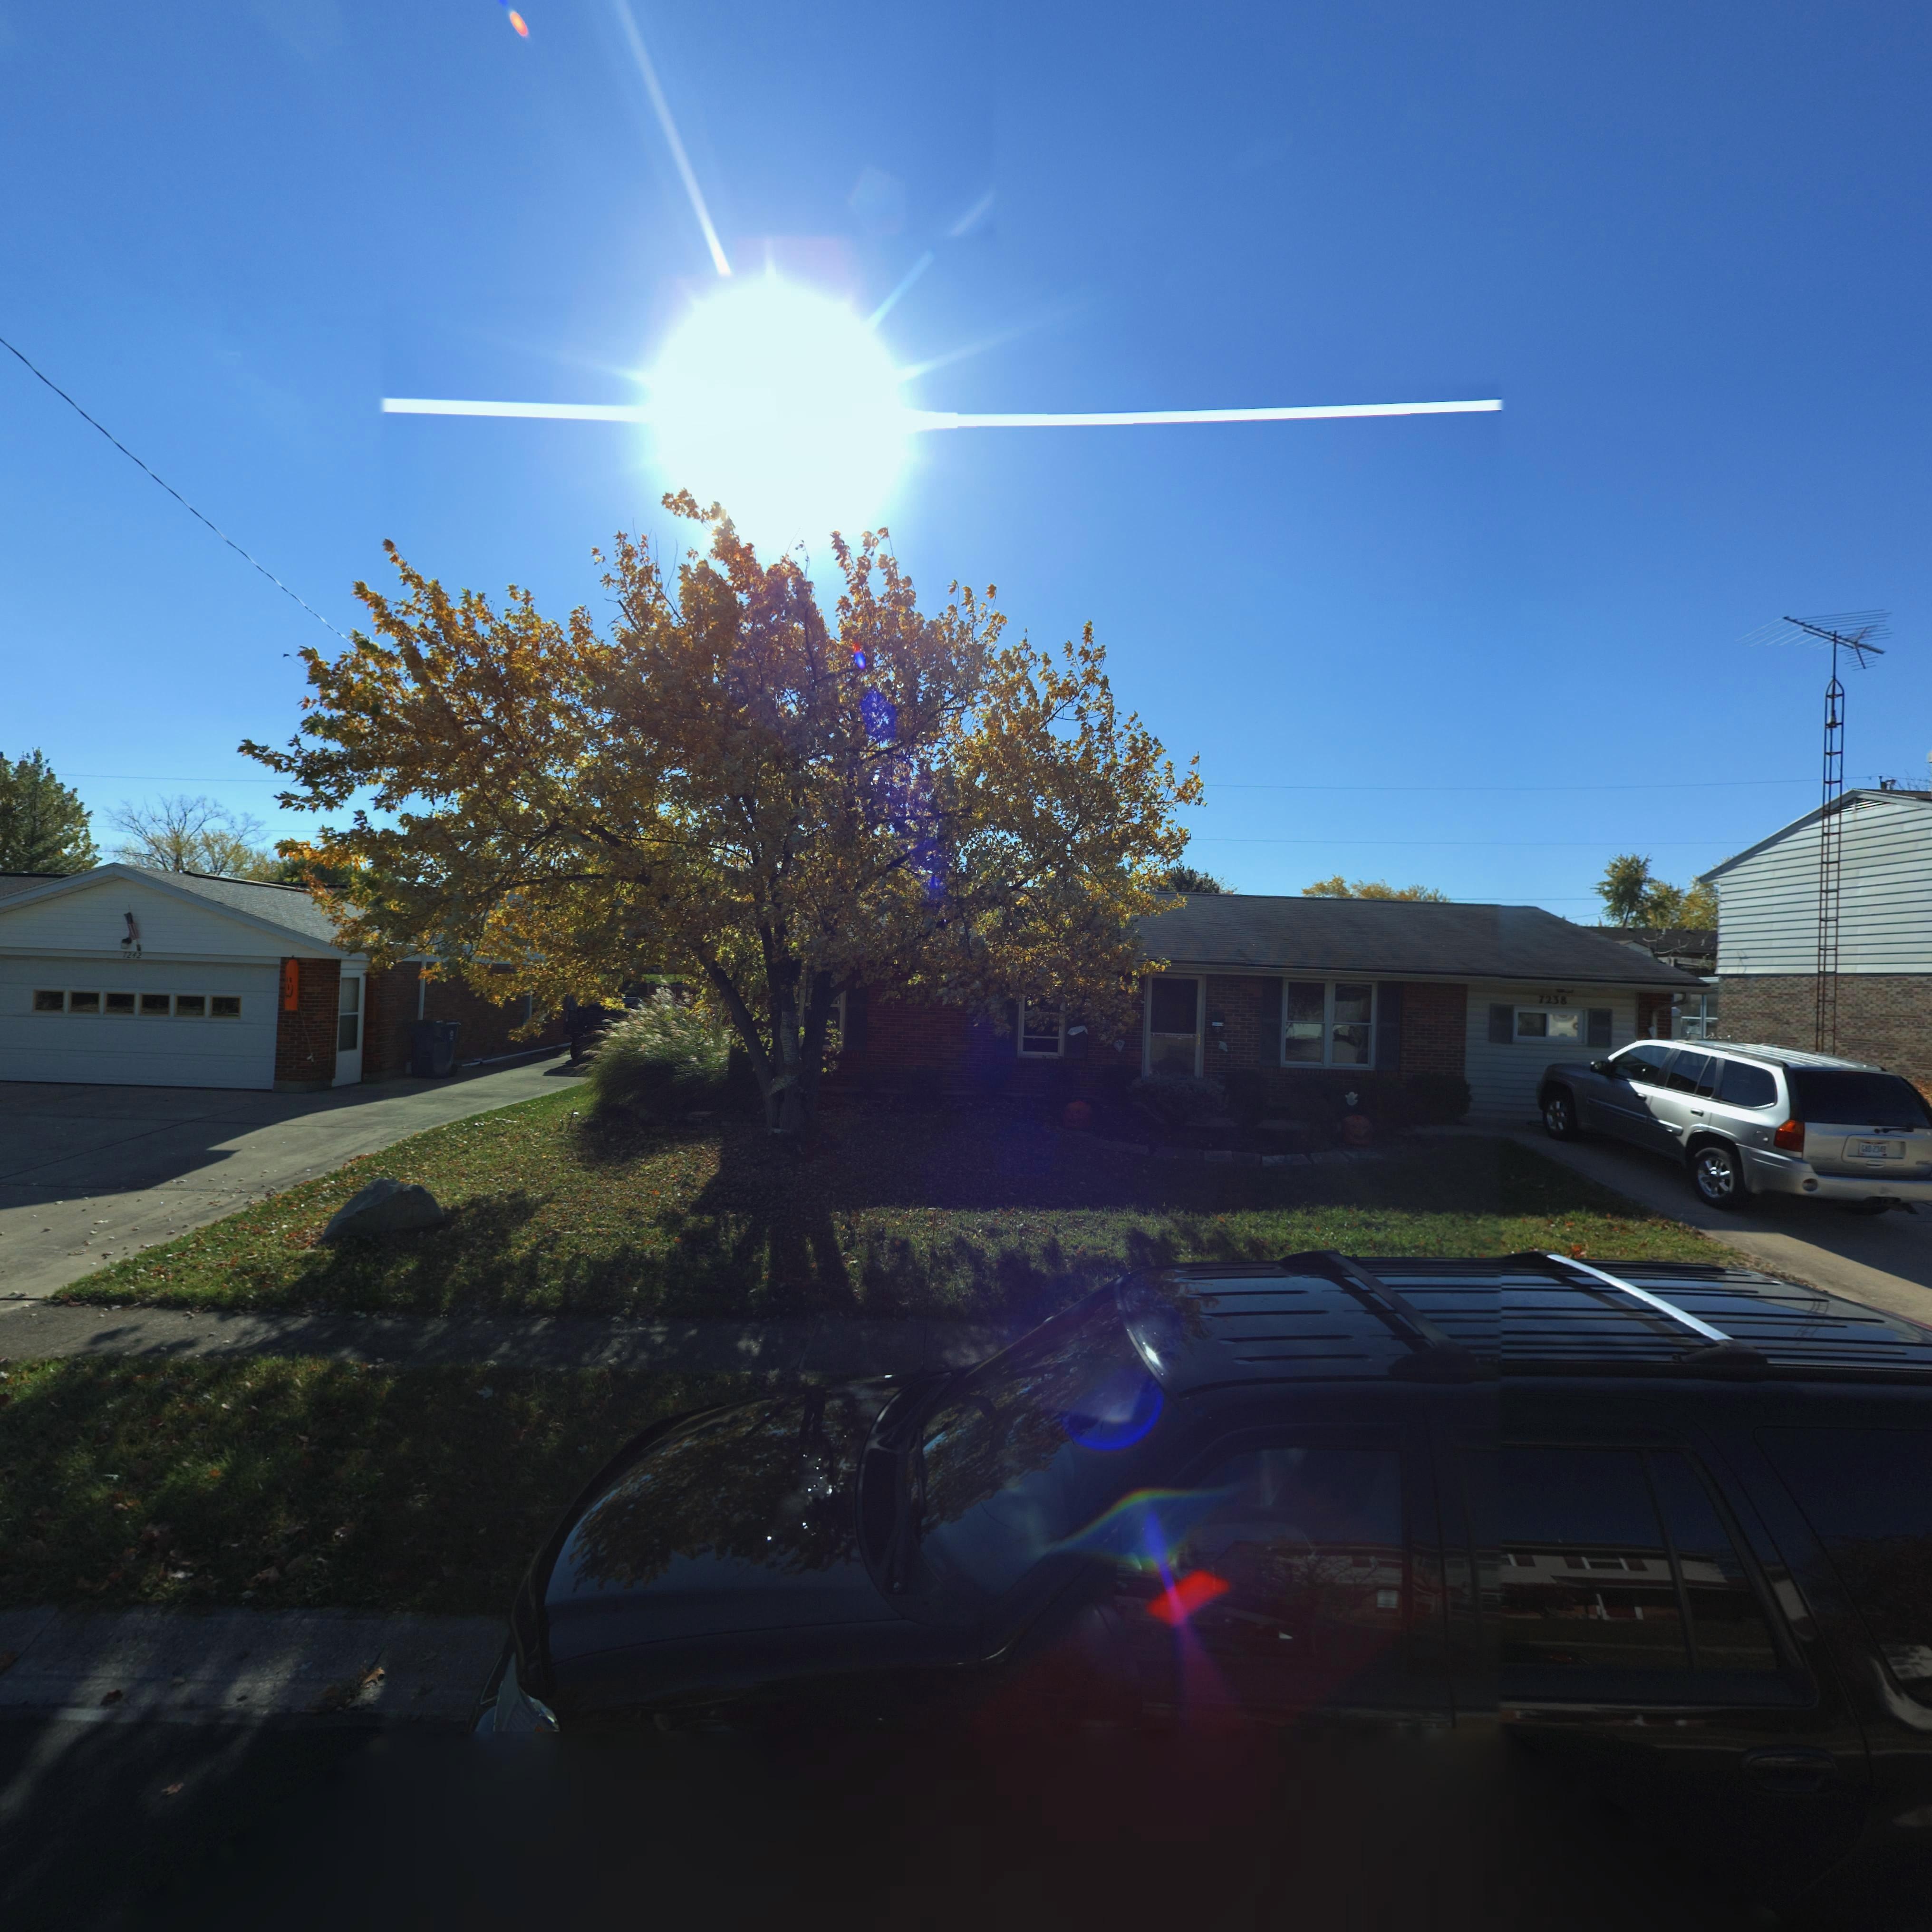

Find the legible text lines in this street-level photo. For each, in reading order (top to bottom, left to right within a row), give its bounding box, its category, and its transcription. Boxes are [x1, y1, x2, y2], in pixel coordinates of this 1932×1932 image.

[121, 950, 142, 960] StreetNumber: *242
[1538, 995, 1568, 1006] StreetNumber: 7238